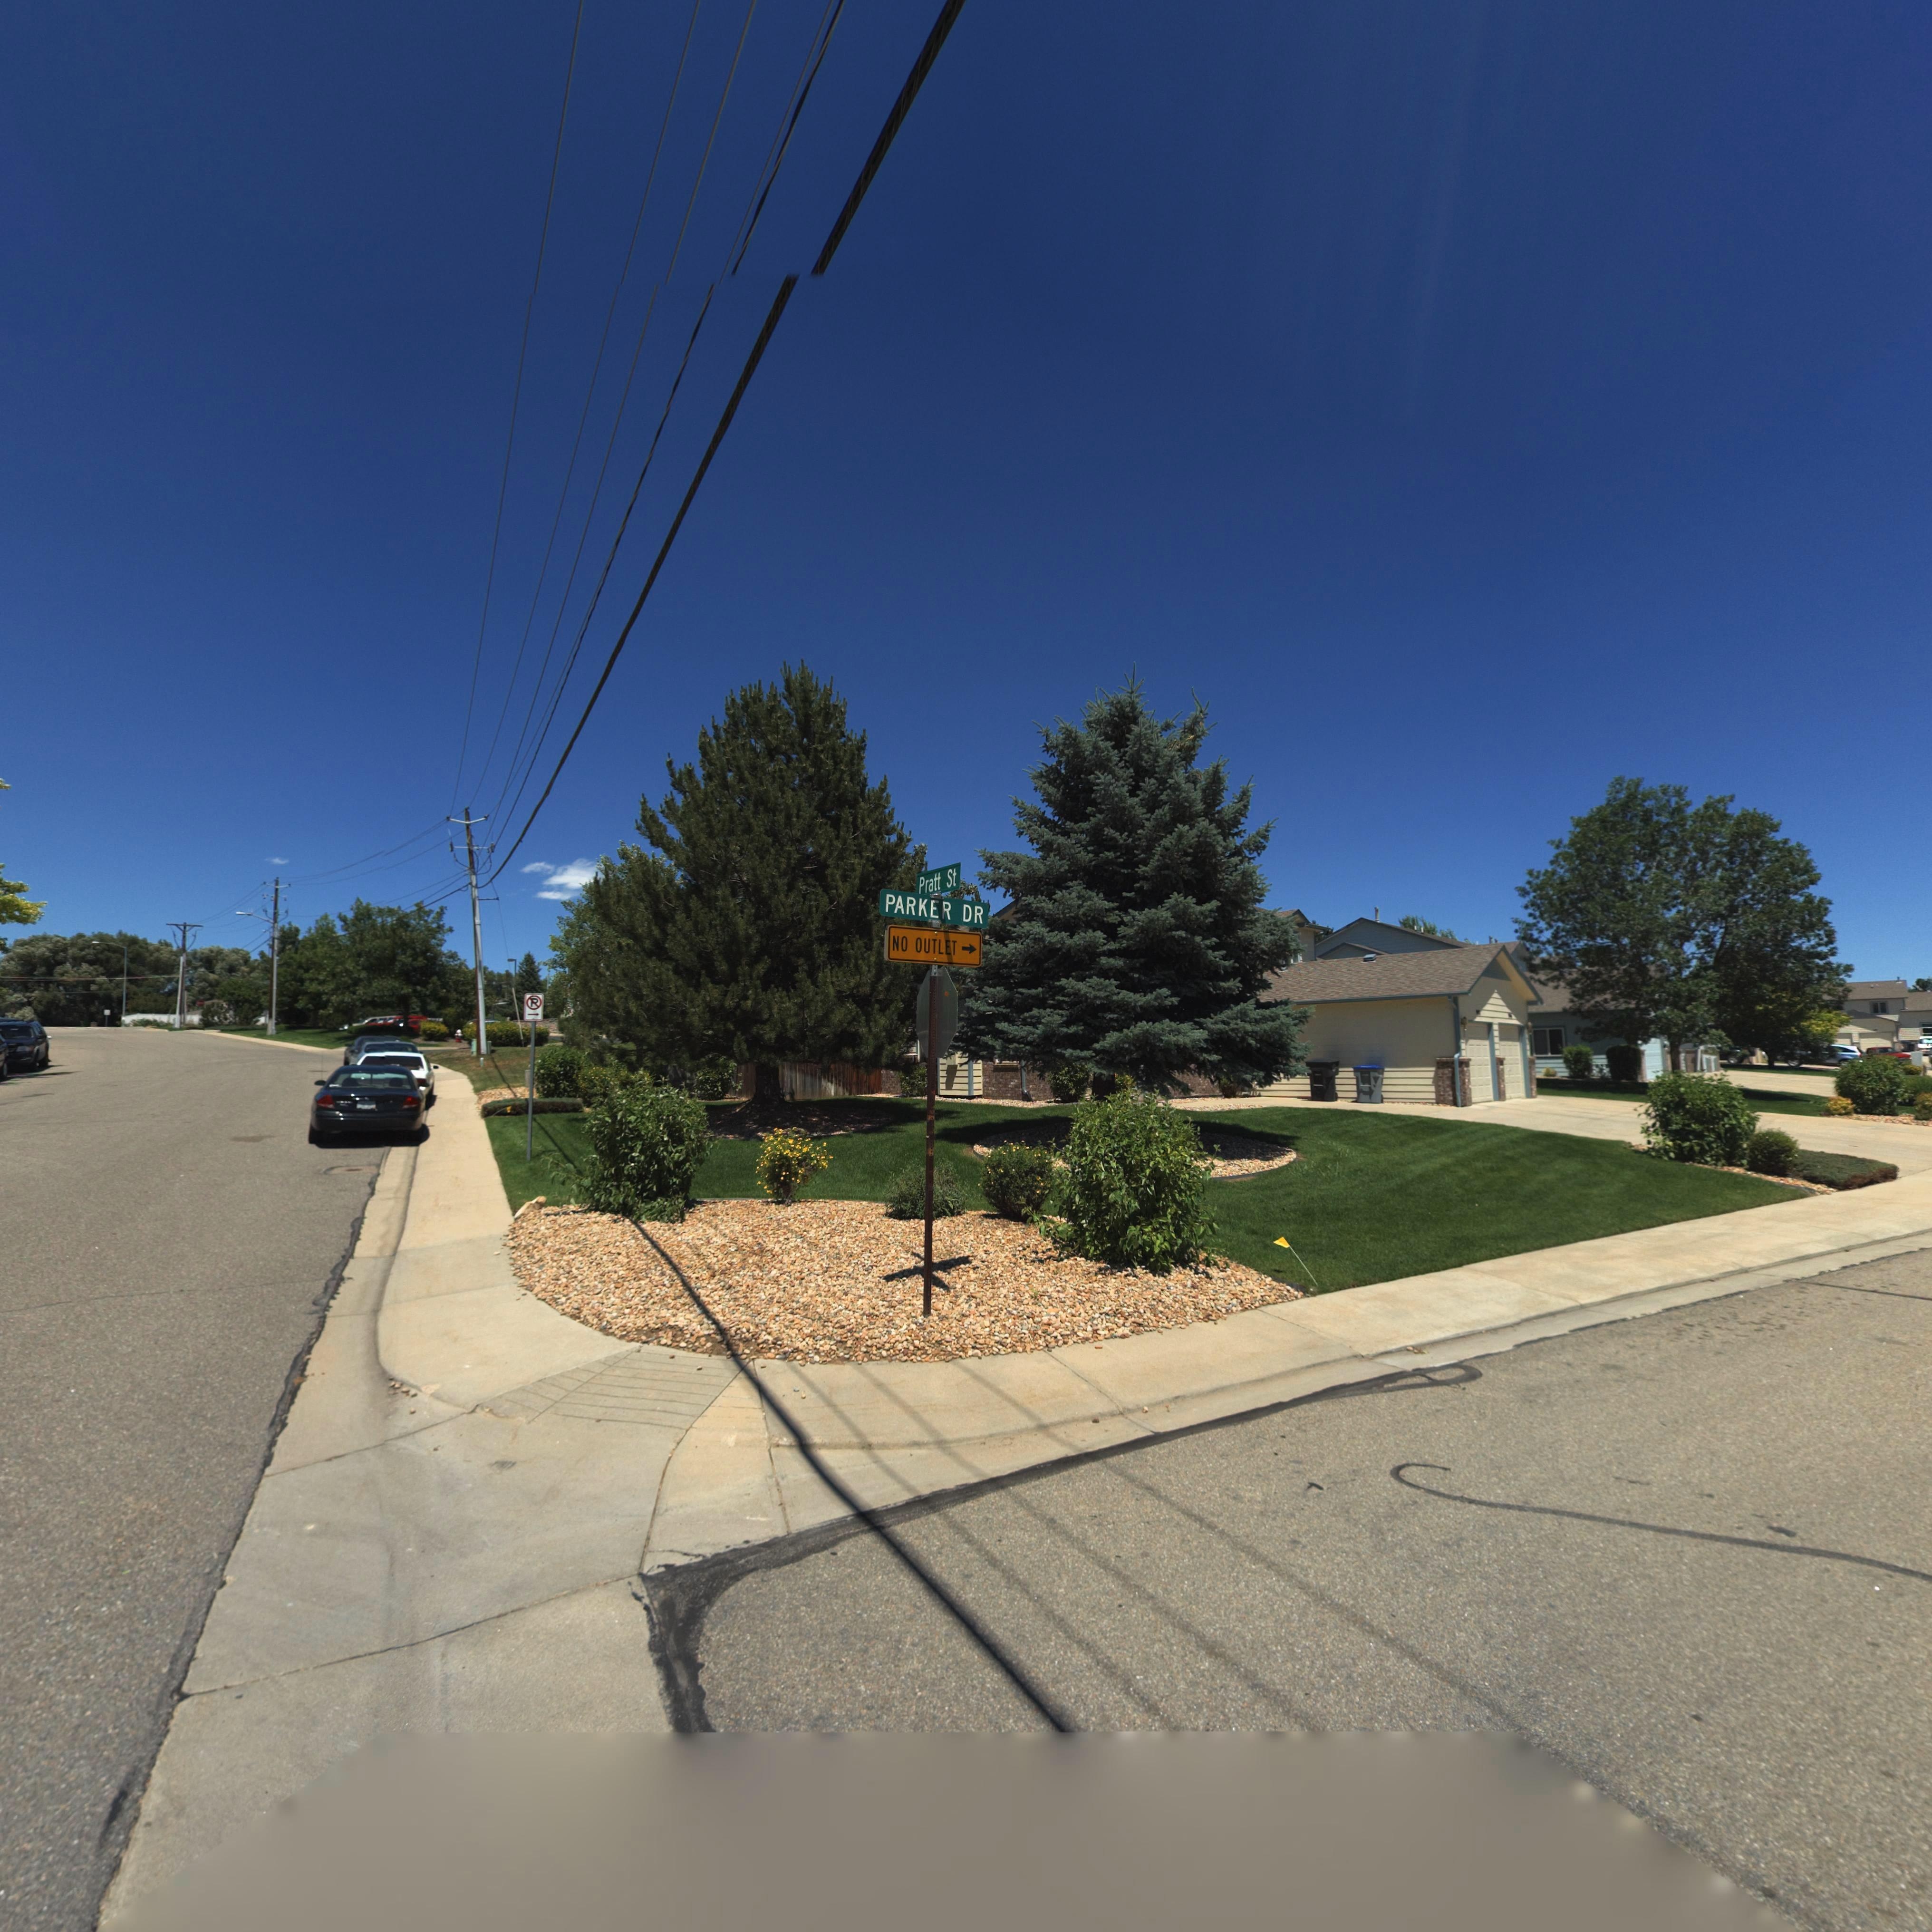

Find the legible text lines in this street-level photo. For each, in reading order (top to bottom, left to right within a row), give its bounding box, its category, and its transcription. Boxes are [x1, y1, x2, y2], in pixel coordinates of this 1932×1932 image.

[918, 868, 956, 894] StreetName: Pratt St
[885, 893, 984, 924] StreetName: PARKER DR